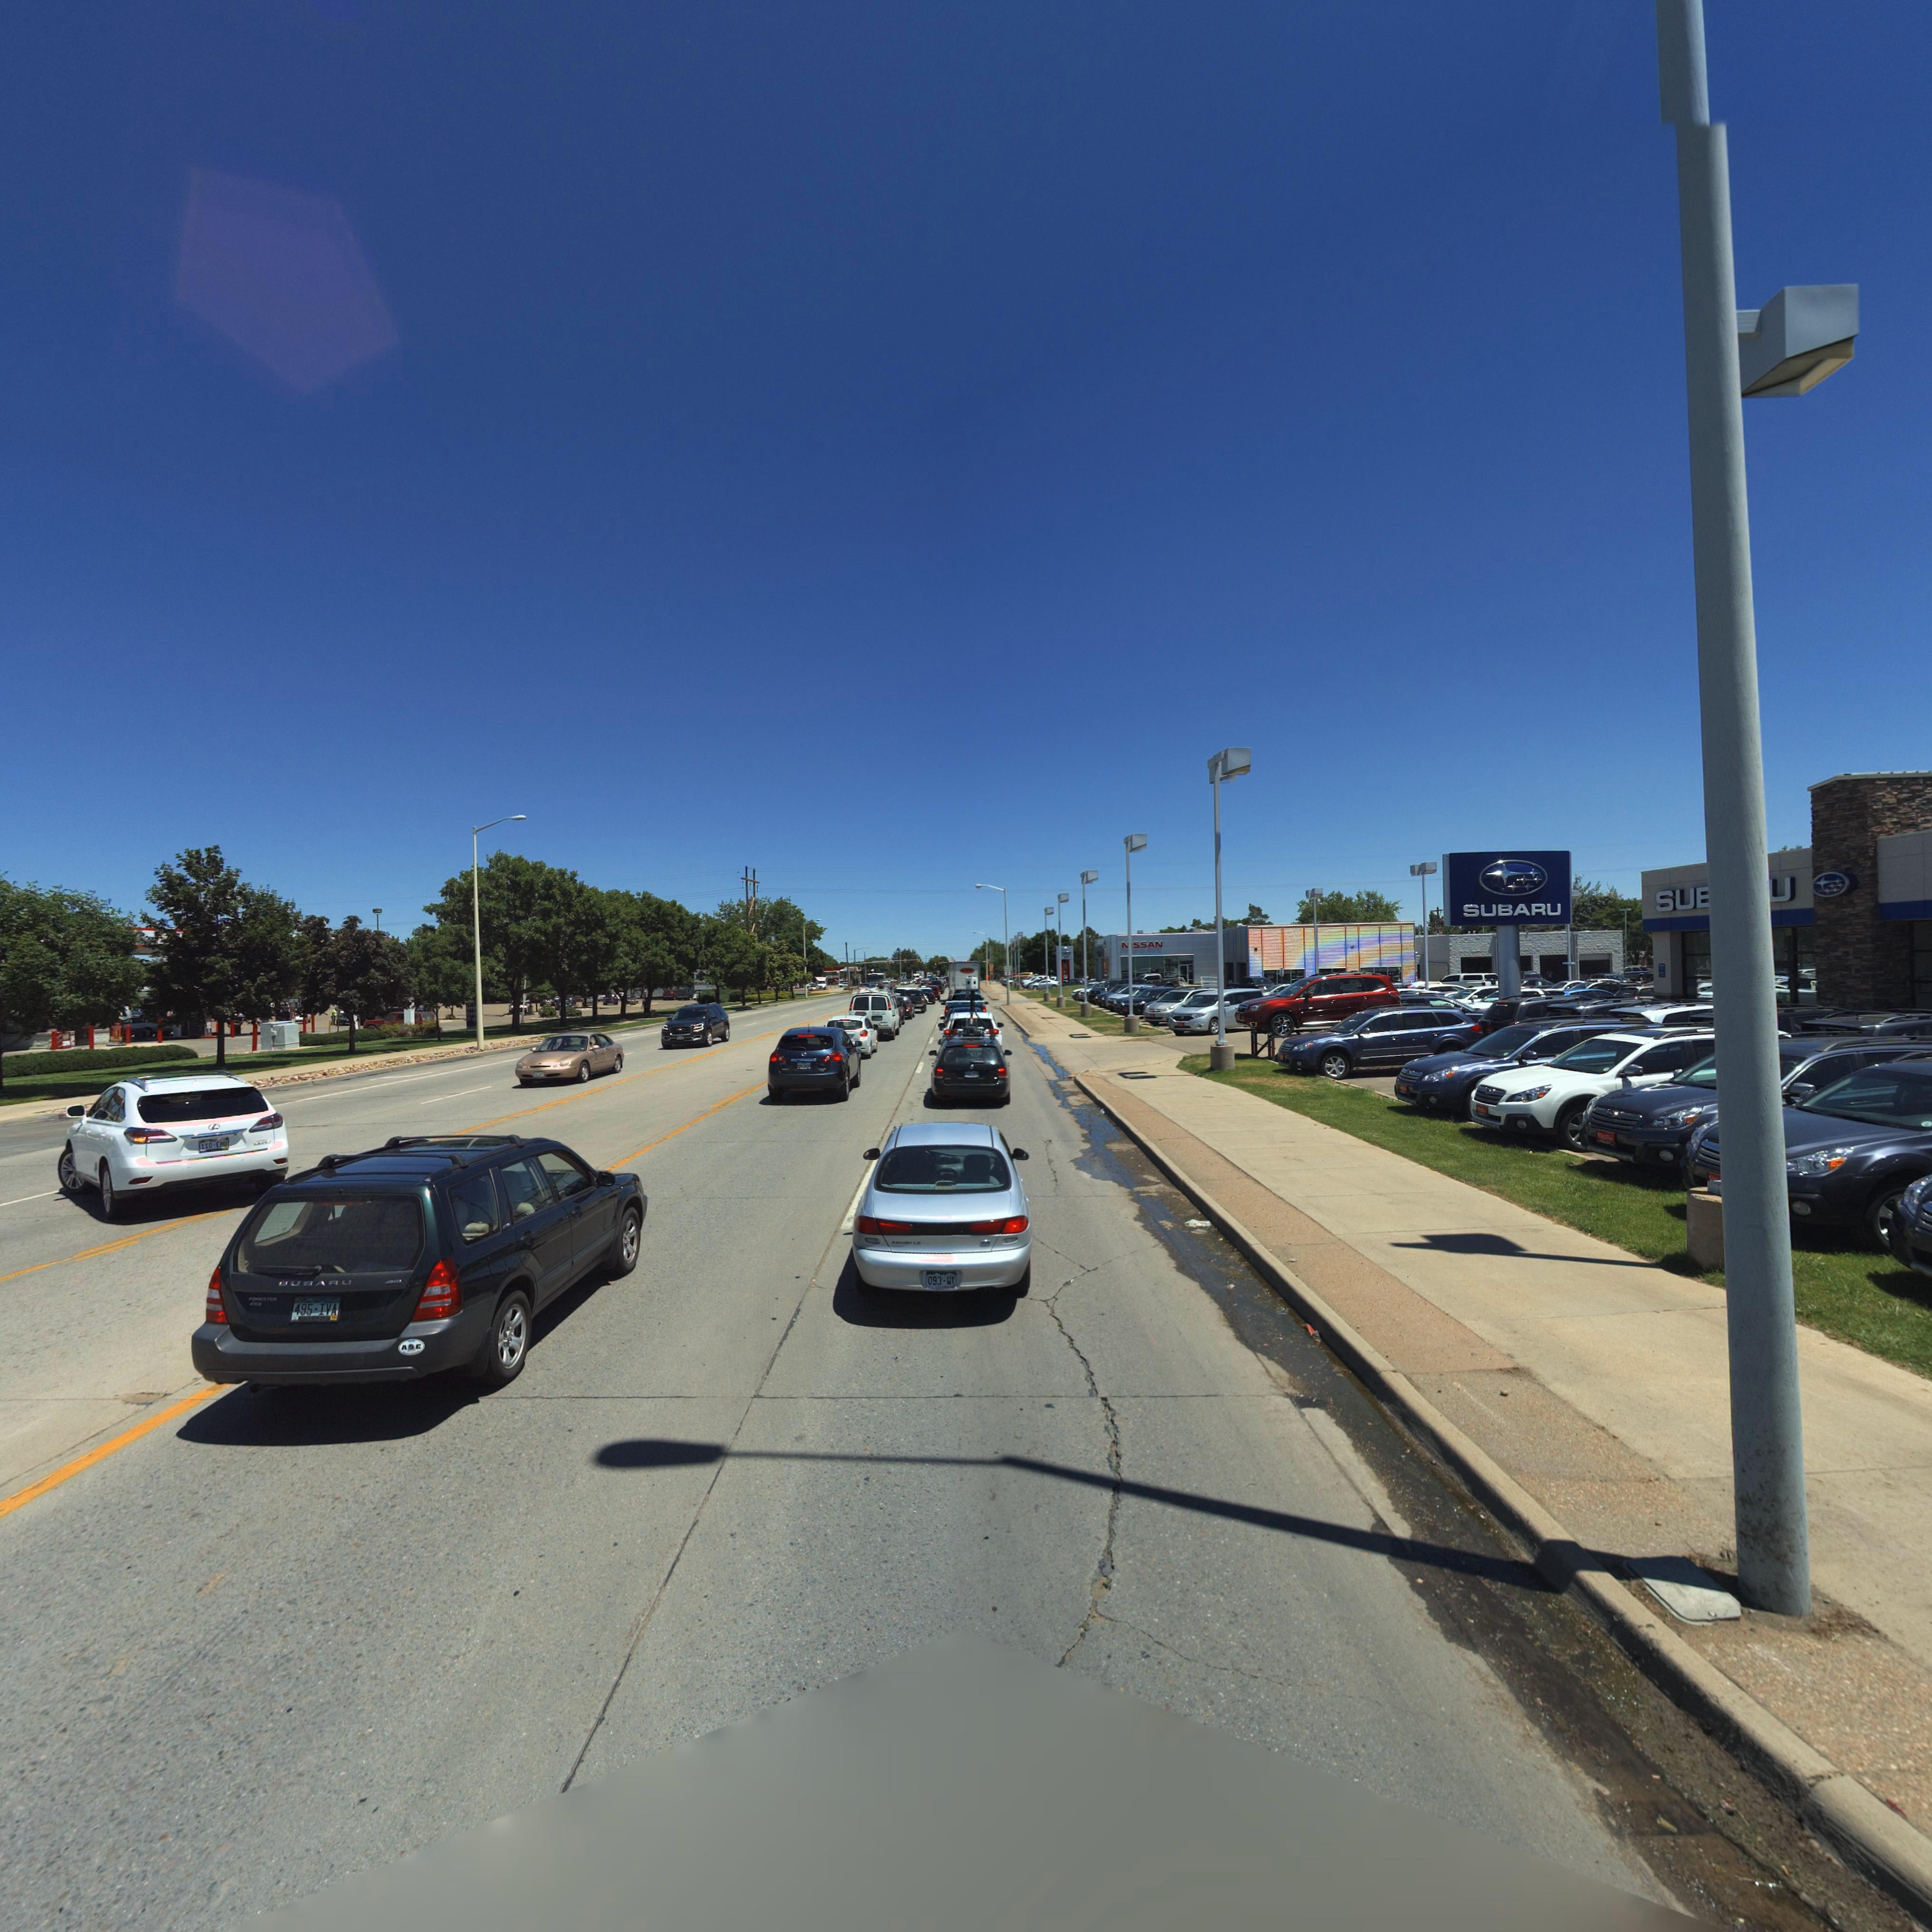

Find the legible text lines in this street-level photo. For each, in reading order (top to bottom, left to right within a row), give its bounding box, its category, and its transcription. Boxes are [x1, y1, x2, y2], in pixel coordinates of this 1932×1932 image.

[1655, 876, 1791, 912] BusinessName: SU***U
[1462, 903, 1562, 918] BusinessName: SUBARU
[1121, 941, 1162, 948] BusinessName: **SSAN
[694, 981, 706, 984] None: *A**